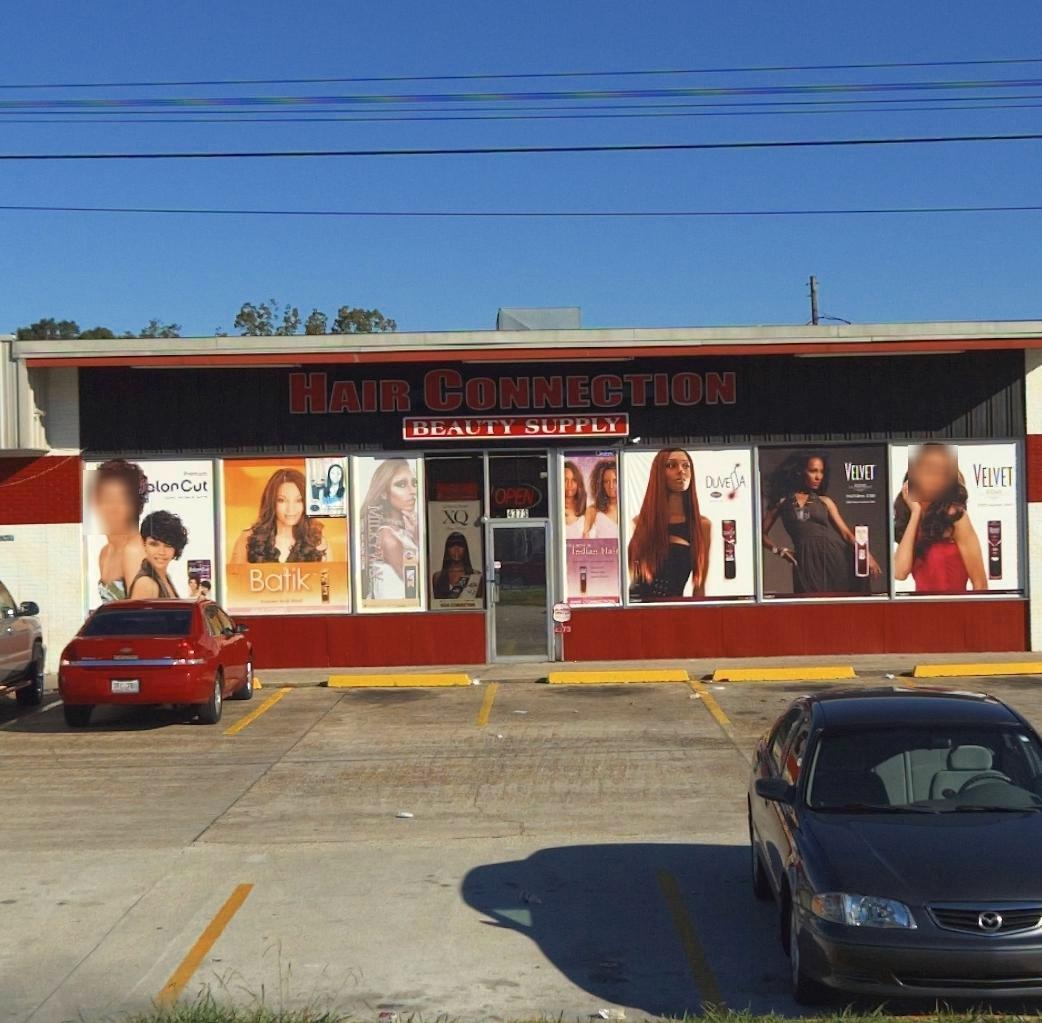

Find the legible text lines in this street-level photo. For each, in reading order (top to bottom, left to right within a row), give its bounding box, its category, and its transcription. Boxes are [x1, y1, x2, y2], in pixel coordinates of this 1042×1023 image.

[285, 363, 742, 418] BusinessName: HAIR CONNECTION
[409, 413, 624, 439] BusinessName: BEAUTY SUPPLY
[142, 477, 210, 495] None: olor Cut
[493, 486, 536, 507] None: OPEN
[703, 466, 749, 493] None: DUVE*A
[842, 460, 878, 483] None: VELVET
[971, 461, 1015, 489] None: VELVET
[440, 508, 471, 527] None: XQ
[506, 507, 529, 520] StreetNumber: 4373
[247, 565, 313, 594] None: Batik